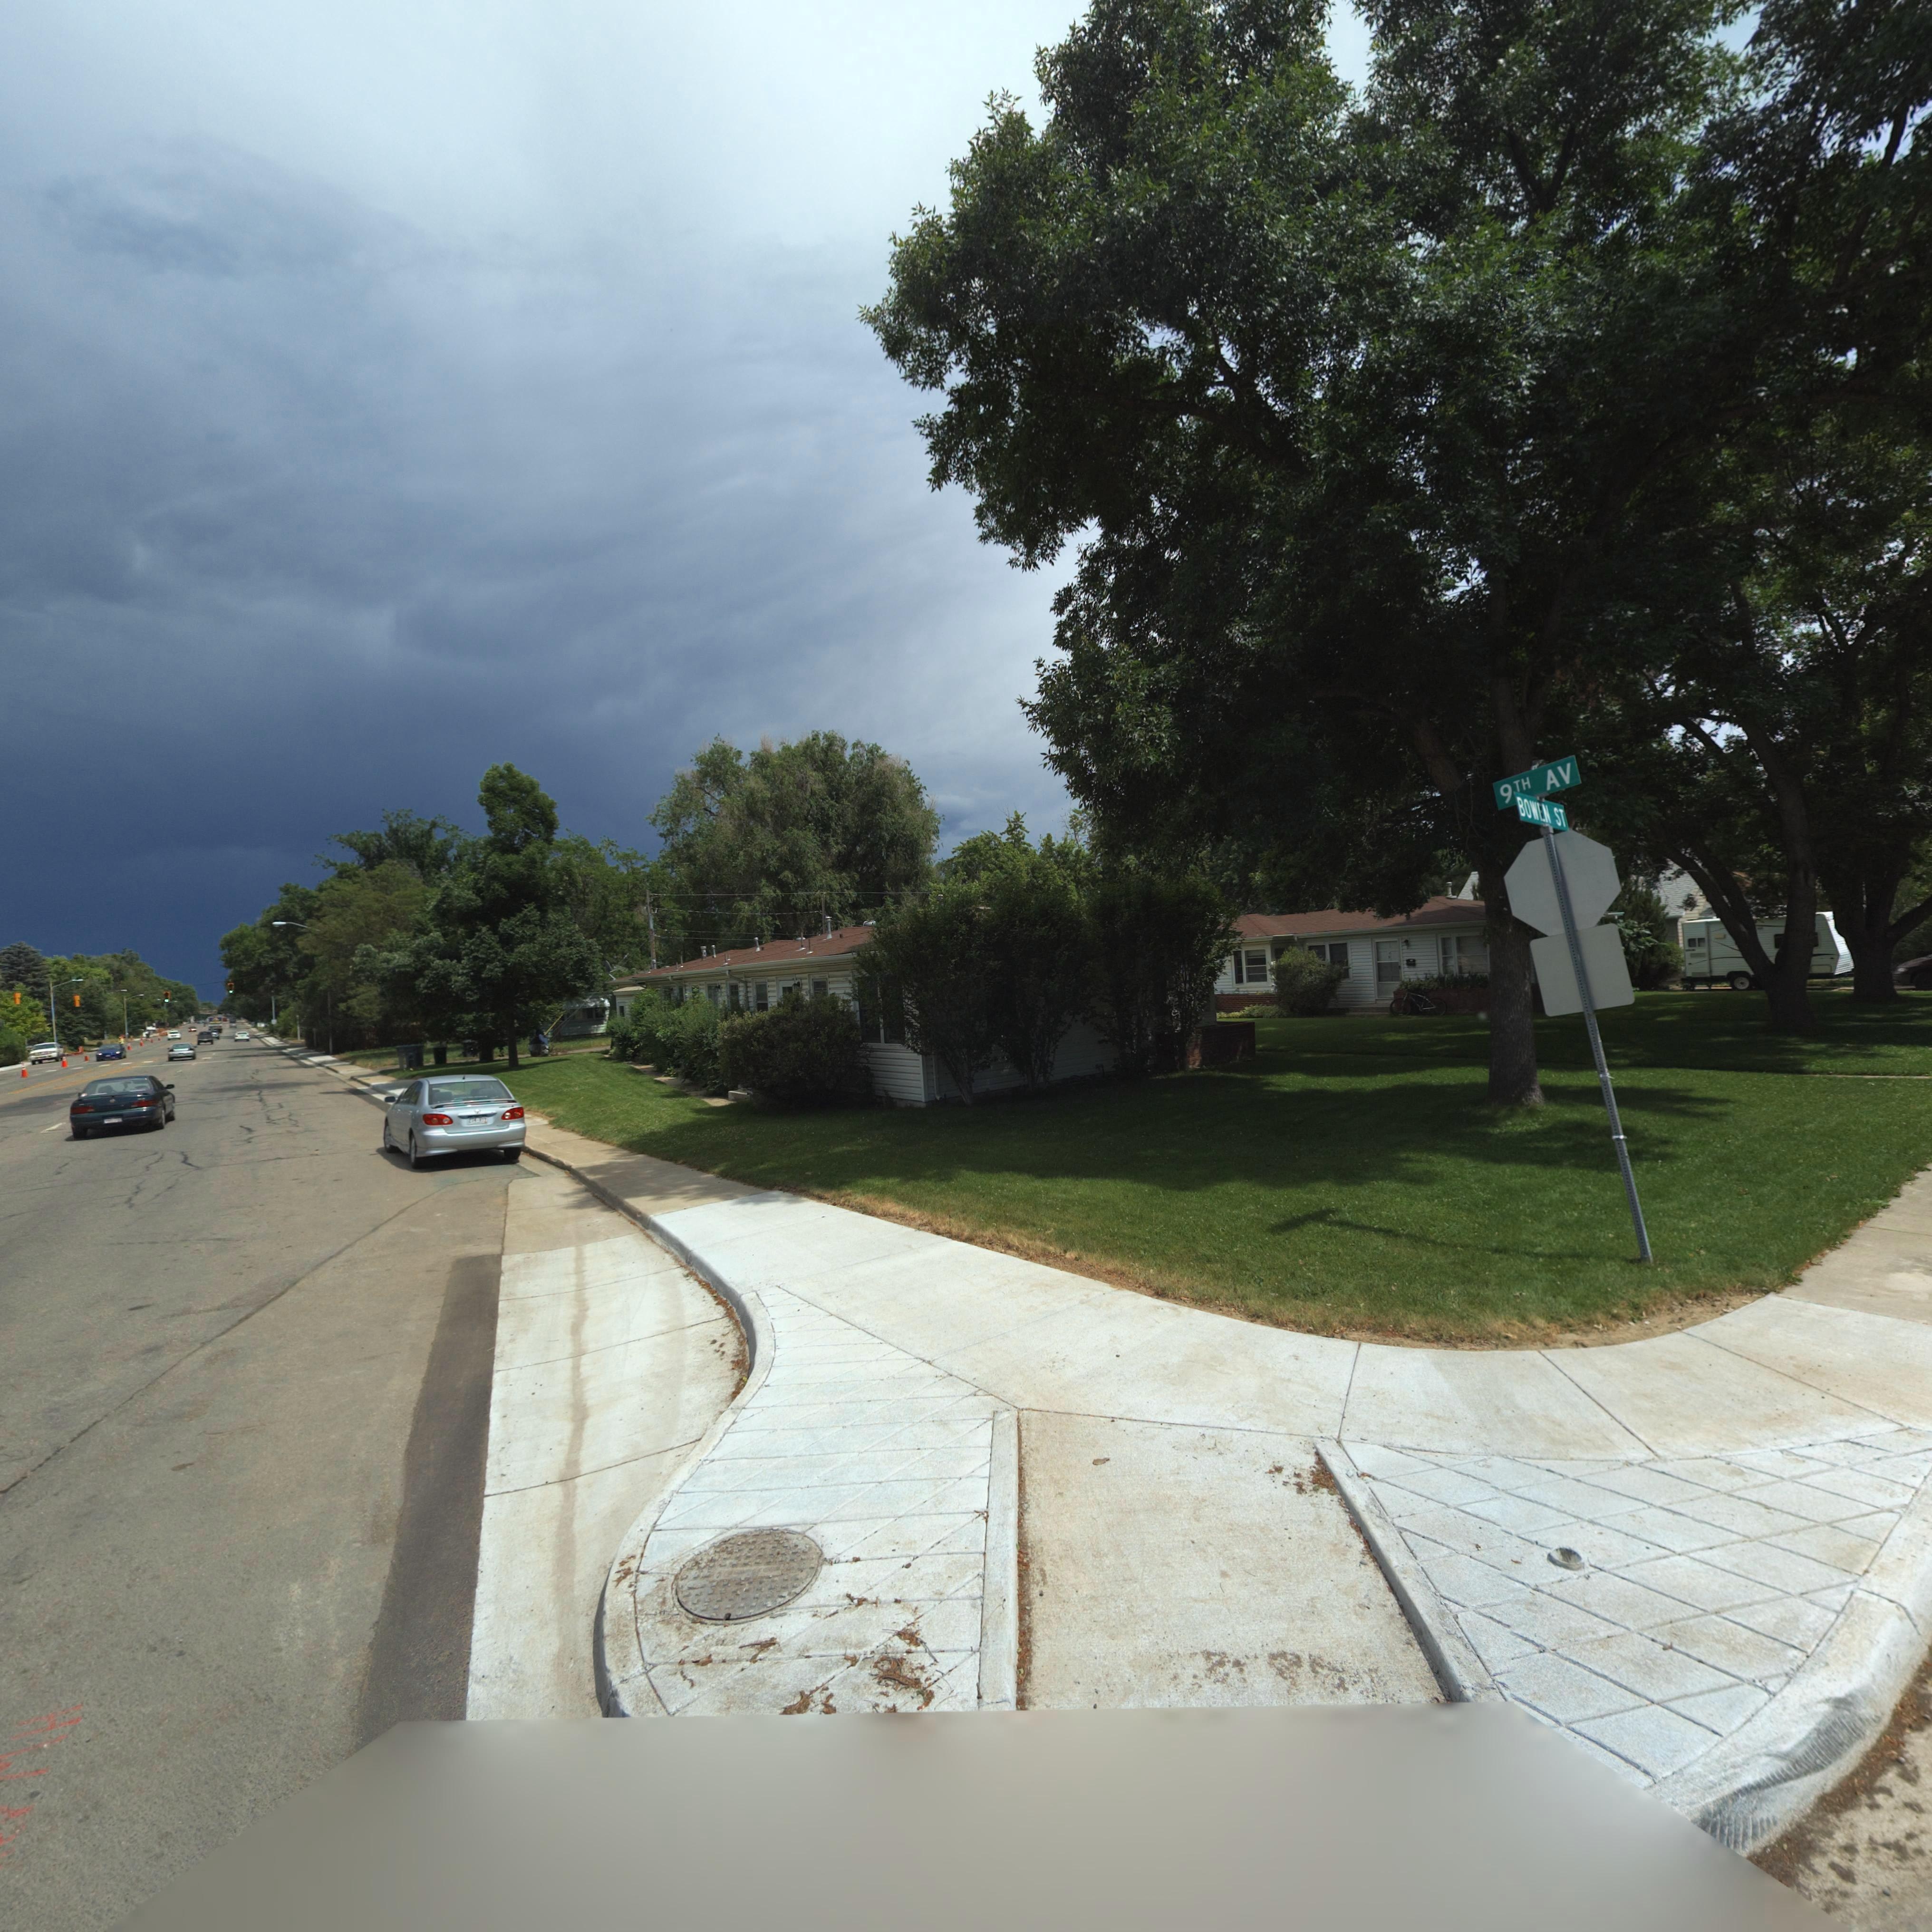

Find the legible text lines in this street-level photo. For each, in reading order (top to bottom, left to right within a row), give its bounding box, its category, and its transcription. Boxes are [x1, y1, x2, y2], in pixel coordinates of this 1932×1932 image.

[1499, 761, 1572, 804] StreetName: 9TH AV
[1515, 794, 1566, 828] StreetName: BOWEN ST